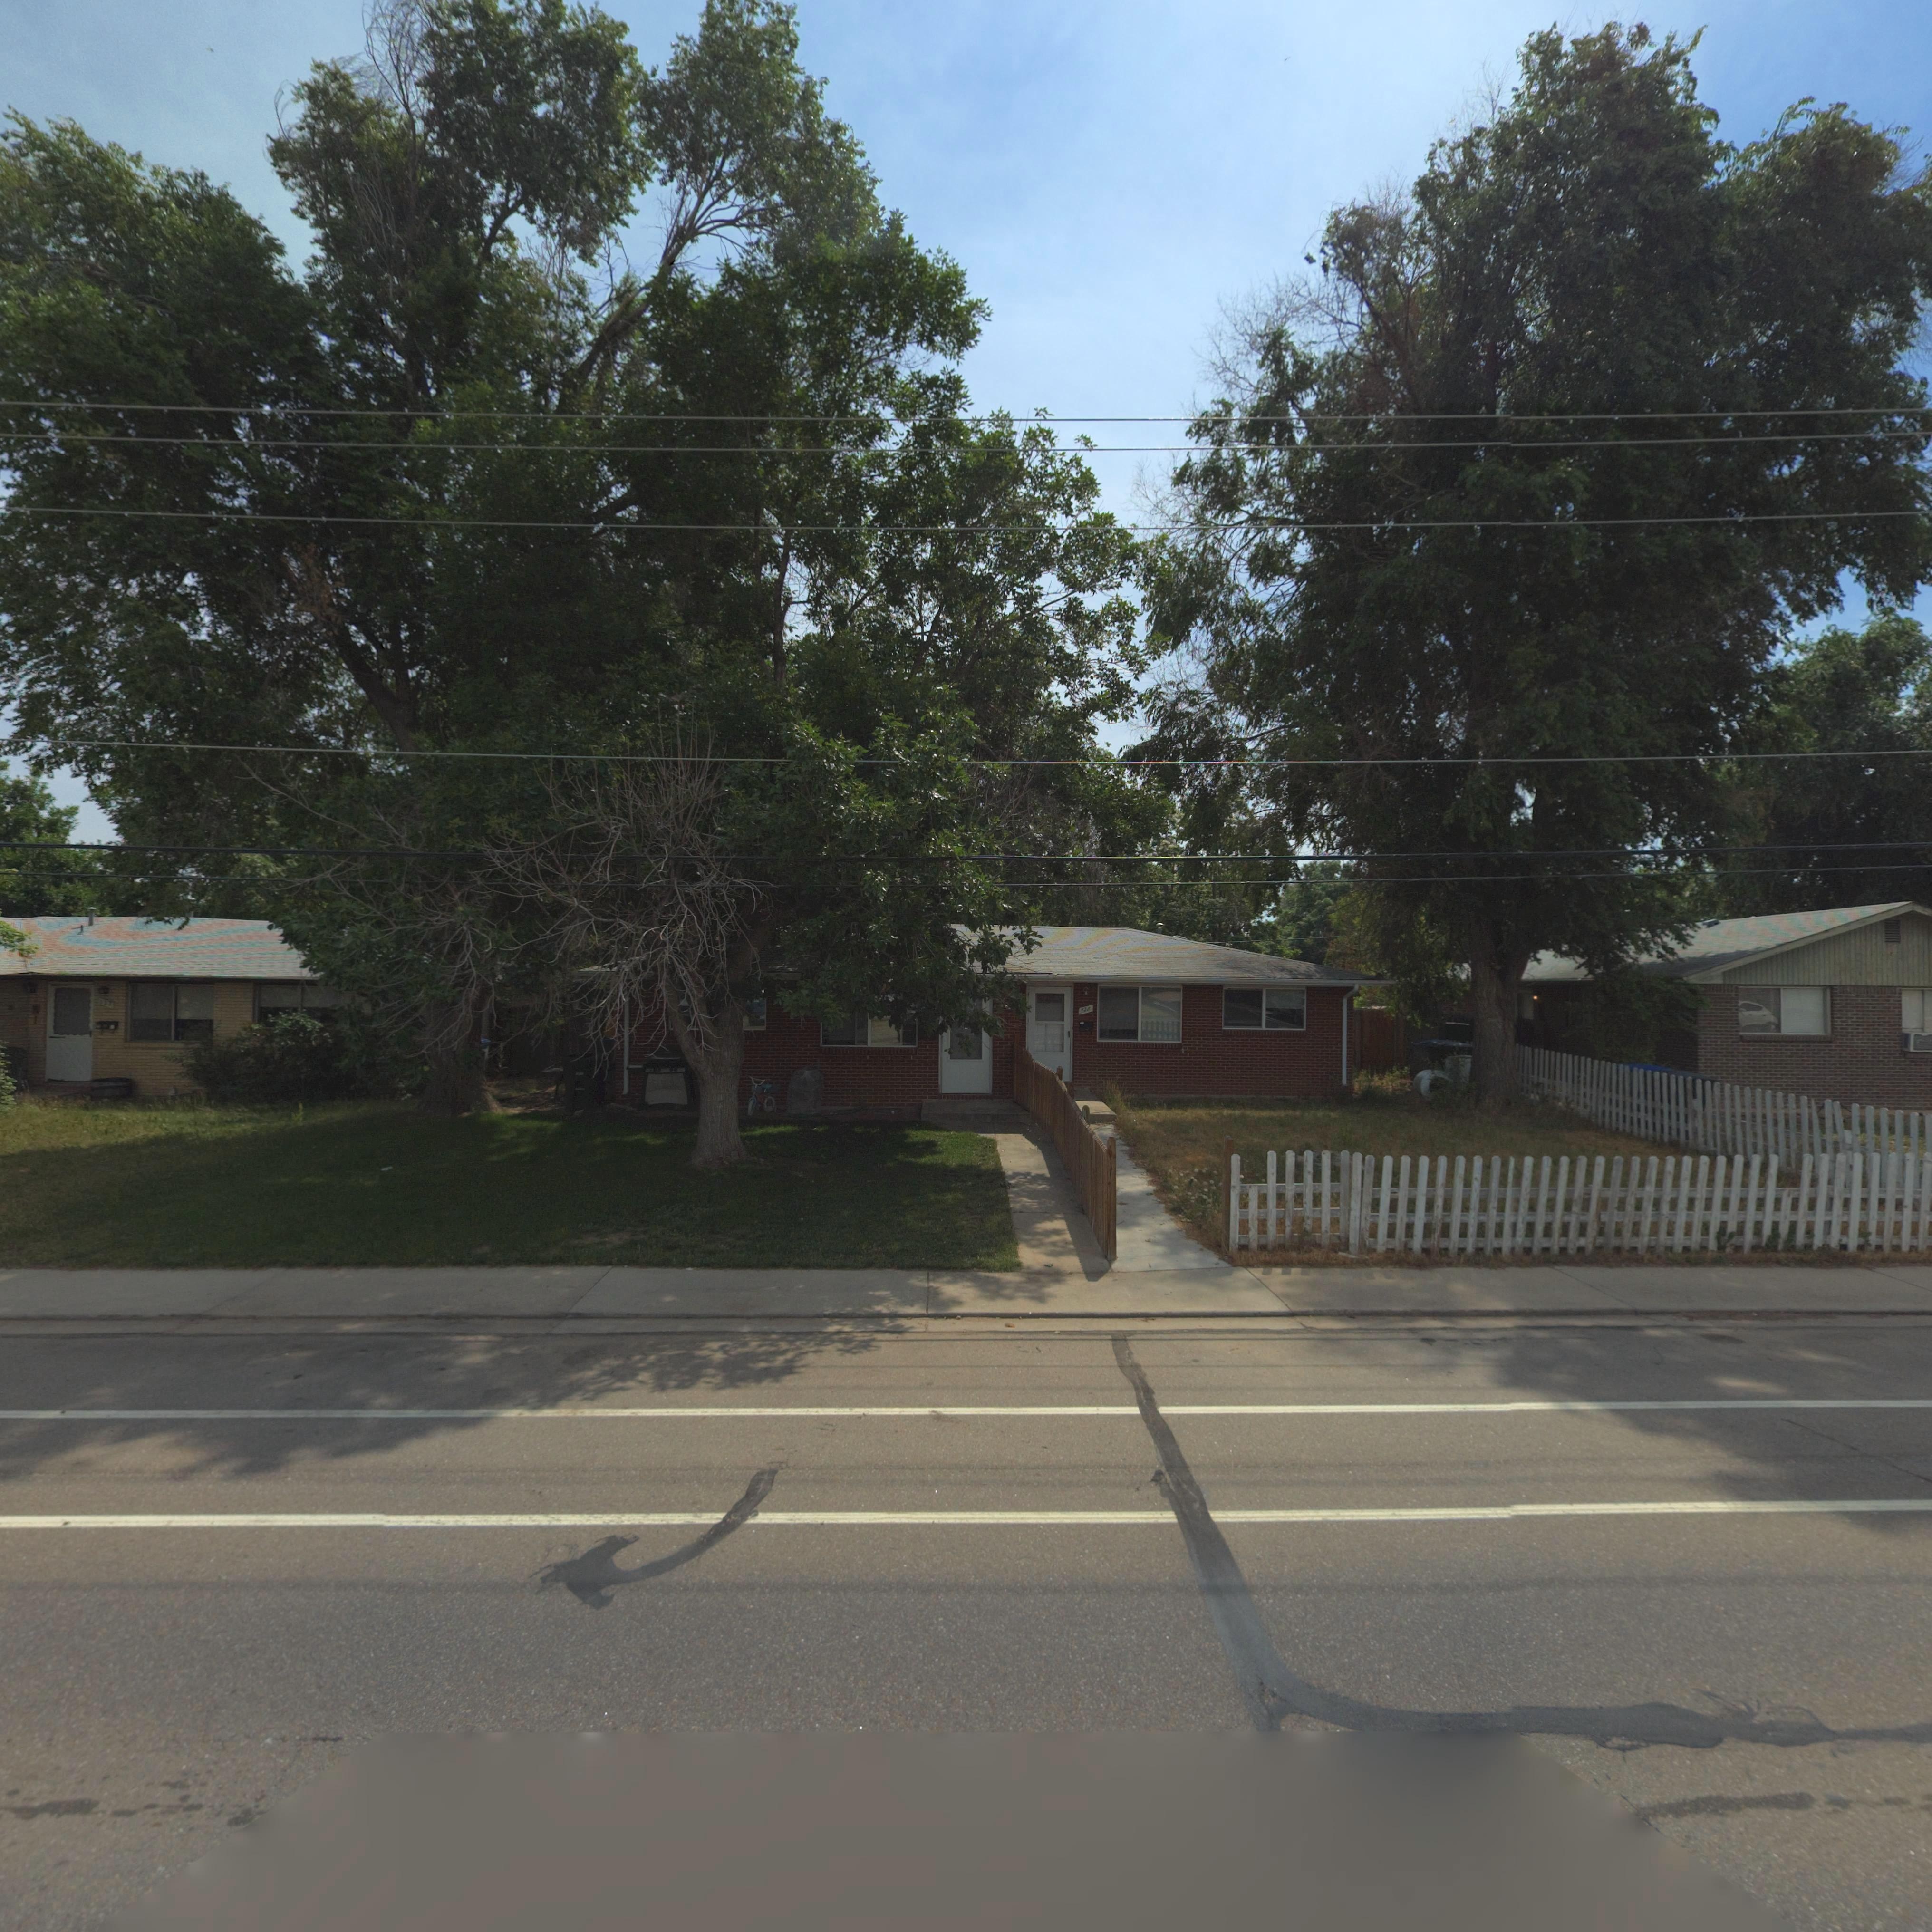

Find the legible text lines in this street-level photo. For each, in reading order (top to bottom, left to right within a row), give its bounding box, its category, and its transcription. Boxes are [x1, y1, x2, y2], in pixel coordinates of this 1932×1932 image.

[1081, 1006, 1091, 1013] StreetNumber: 72*